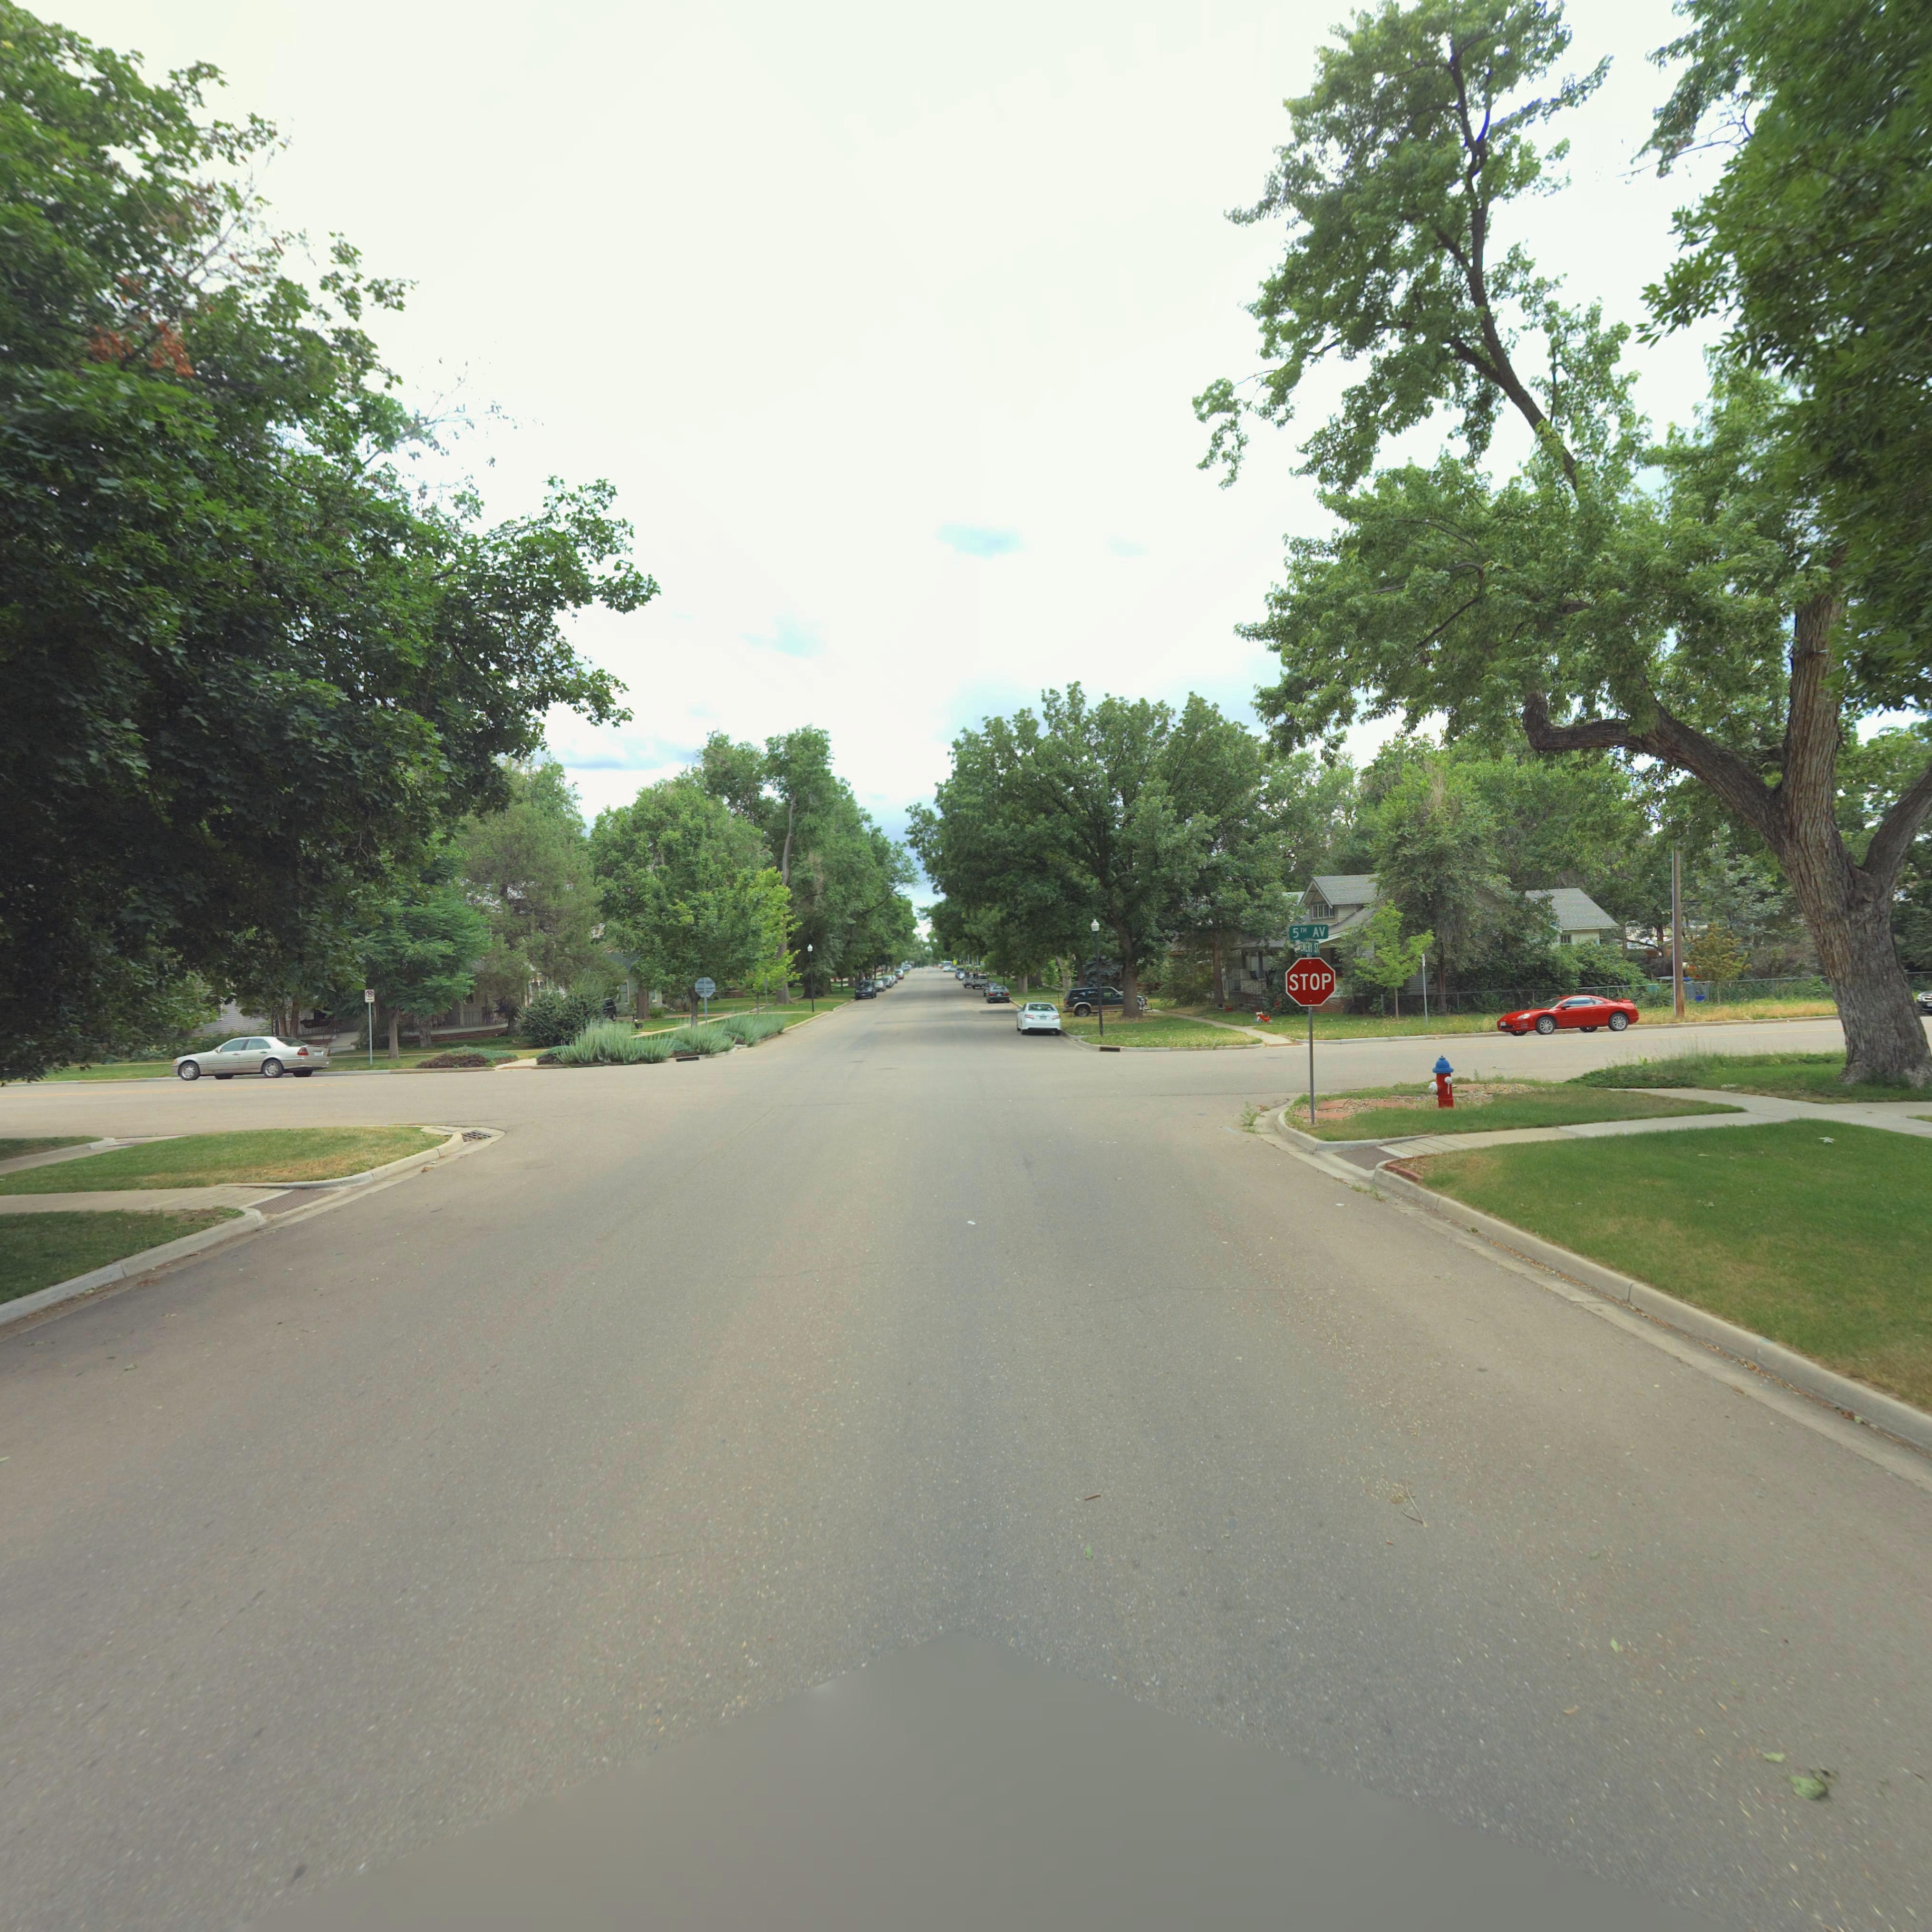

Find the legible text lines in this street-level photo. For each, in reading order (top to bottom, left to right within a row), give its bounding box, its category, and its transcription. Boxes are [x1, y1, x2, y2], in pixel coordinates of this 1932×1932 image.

[1292, 926, 1326, 938] StreetName: 5TH AV
[1300, 941, 1319, 953] BusinessName: EMERY ST